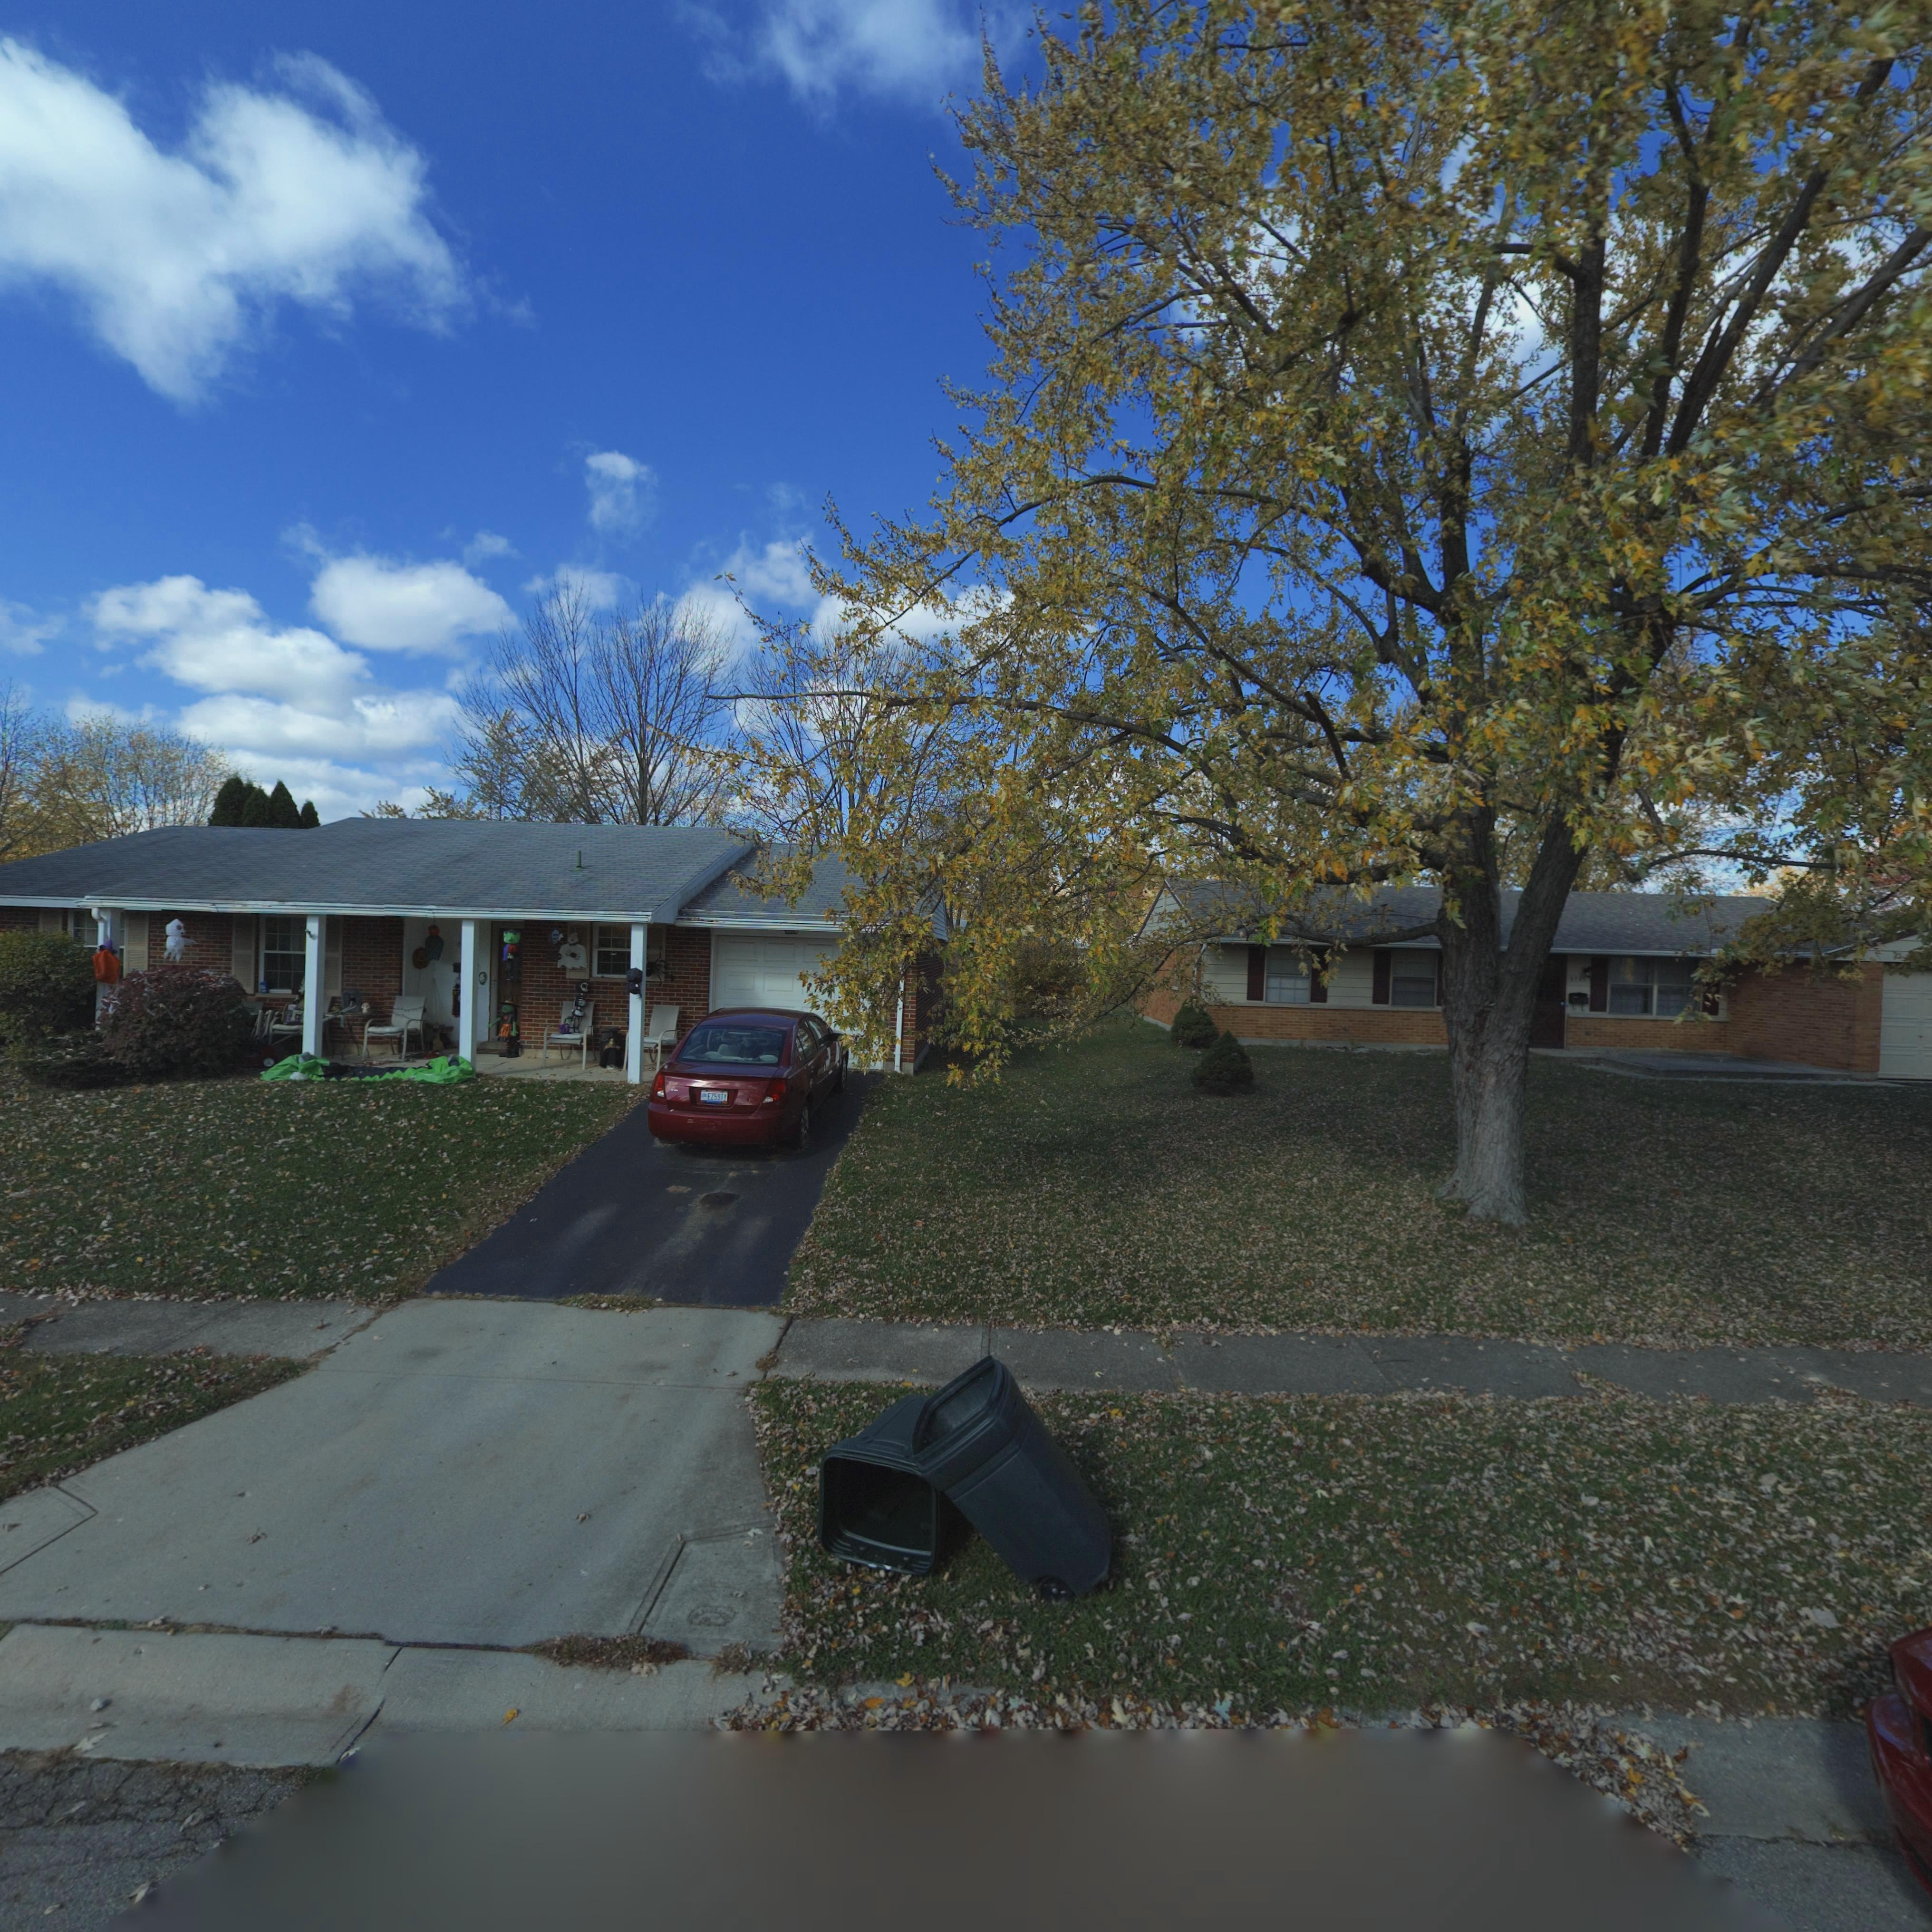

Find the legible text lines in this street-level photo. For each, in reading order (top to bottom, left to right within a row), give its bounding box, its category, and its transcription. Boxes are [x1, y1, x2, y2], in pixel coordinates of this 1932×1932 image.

[456, 938, 462, 948] StreetNumber: 6
[1569, 976, 1587, 983] StreetNumber: 672*